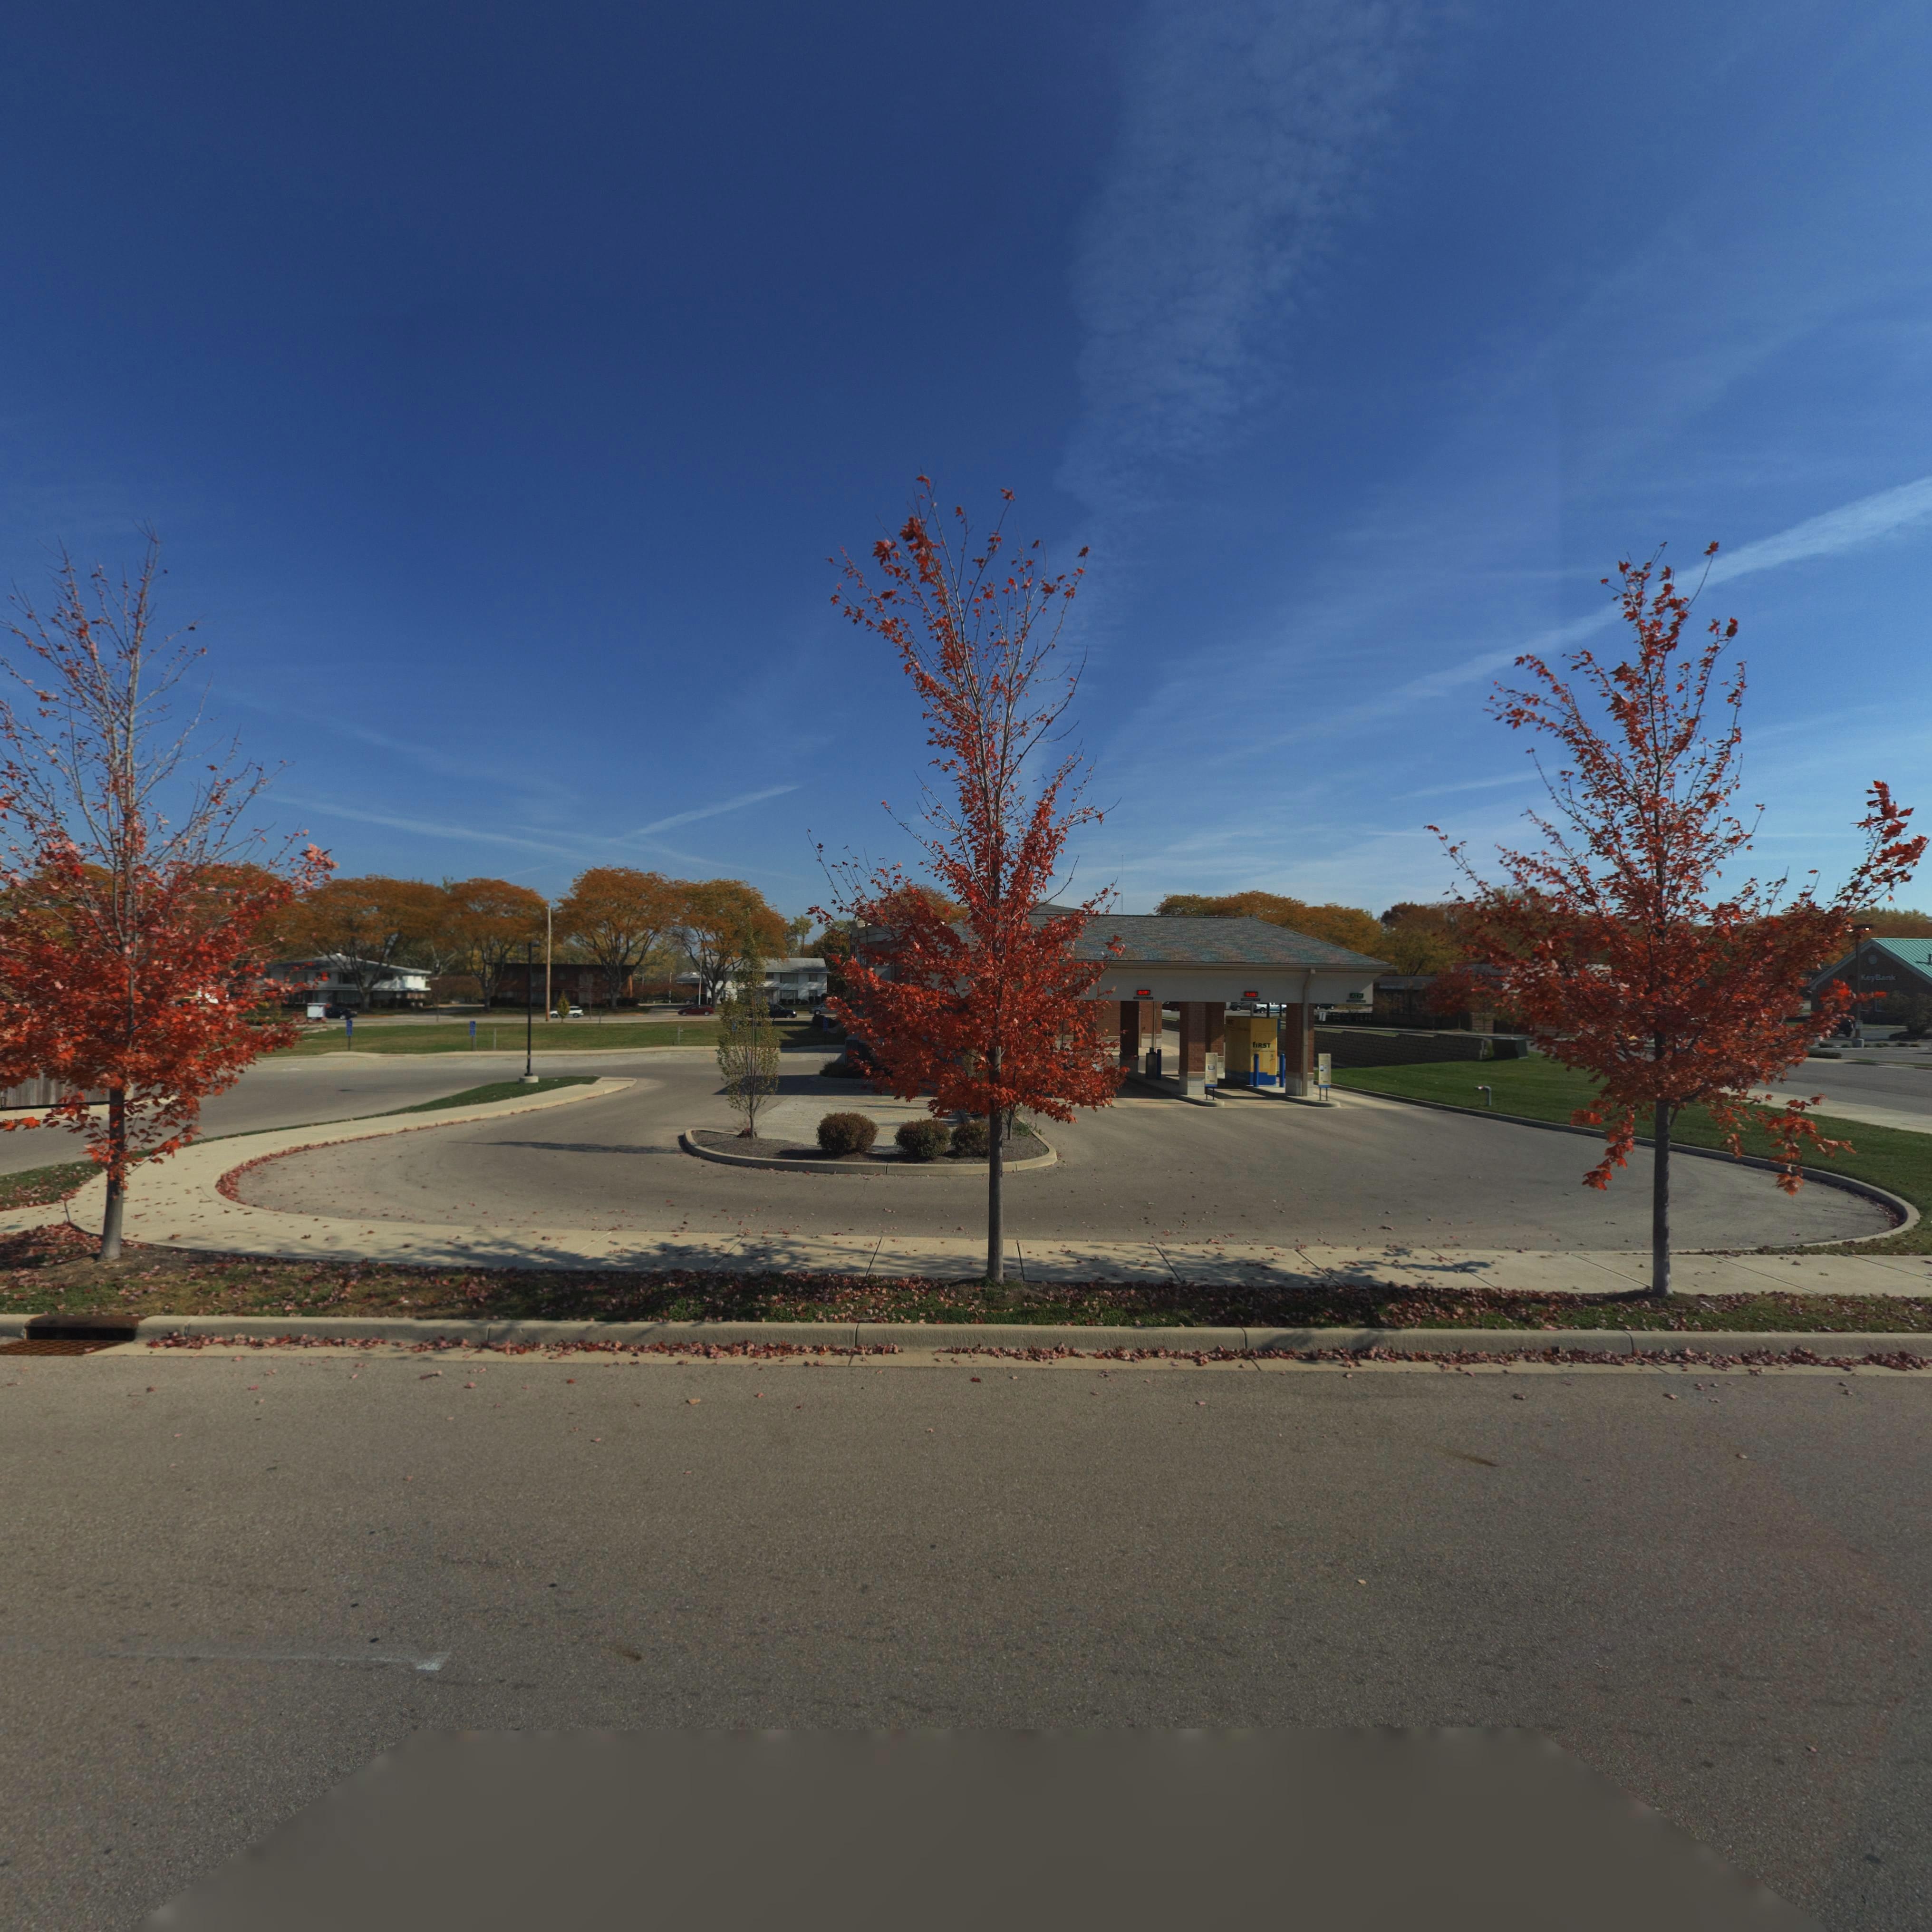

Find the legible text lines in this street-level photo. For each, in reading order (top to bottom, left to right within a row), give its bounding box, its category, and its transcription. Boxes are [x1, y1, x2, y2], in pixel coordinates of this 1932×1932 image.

[1859, 972, 1899, 984] BusinessName: *eyBank
[1251, 1041, 1272, 1049] BusinessName: fIRST